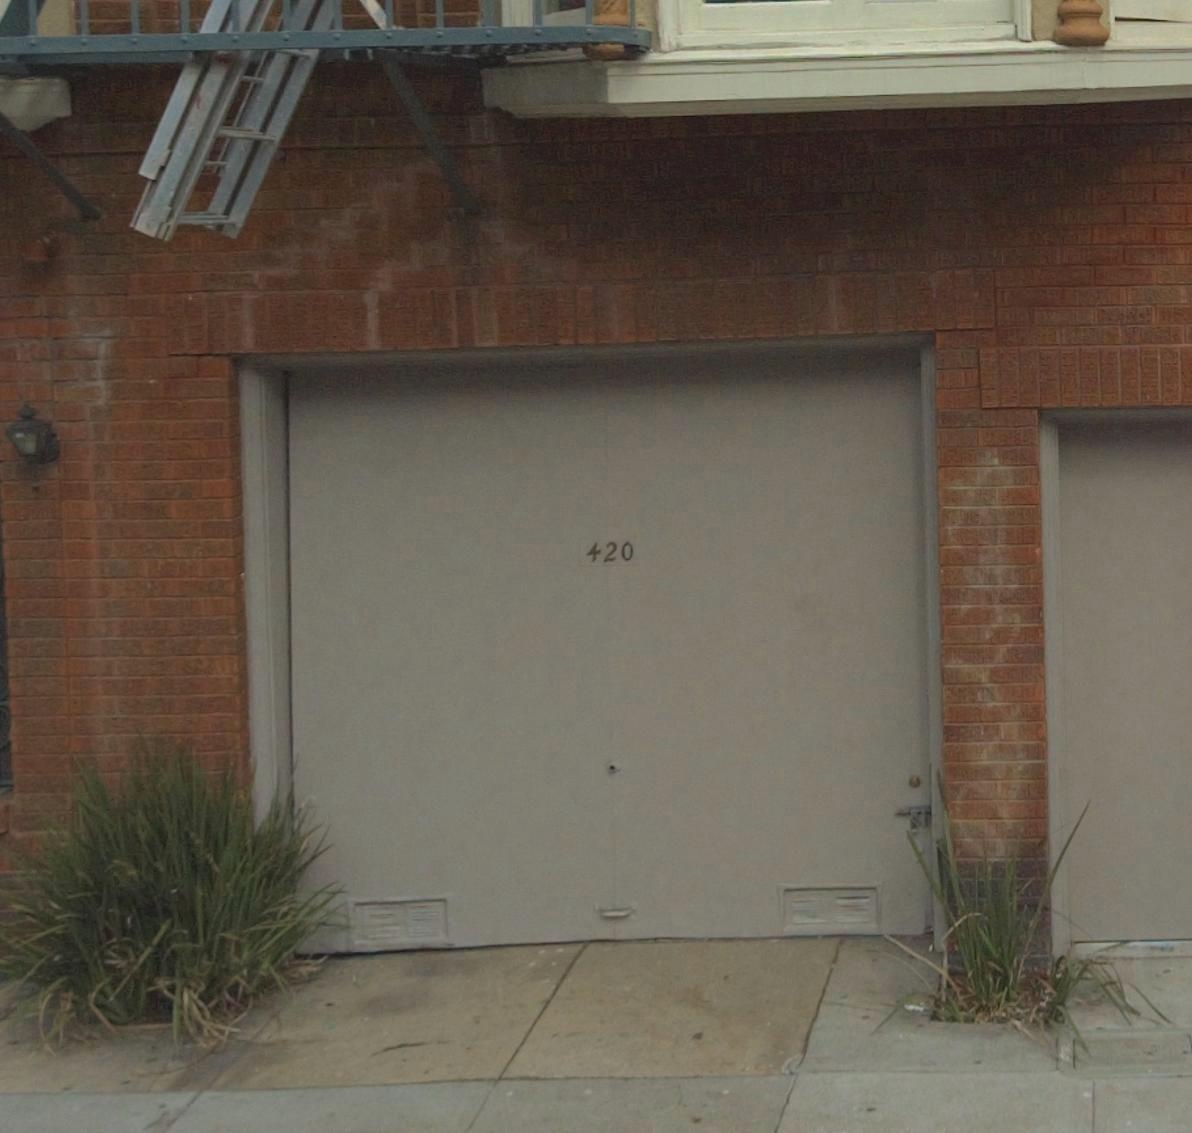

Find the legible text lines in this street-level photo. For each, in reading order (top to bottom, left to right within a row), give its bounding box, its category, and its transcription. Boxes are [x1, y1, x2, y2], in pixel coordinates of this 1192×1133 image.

[584, 538, 636, 565] StreetNumber: 420